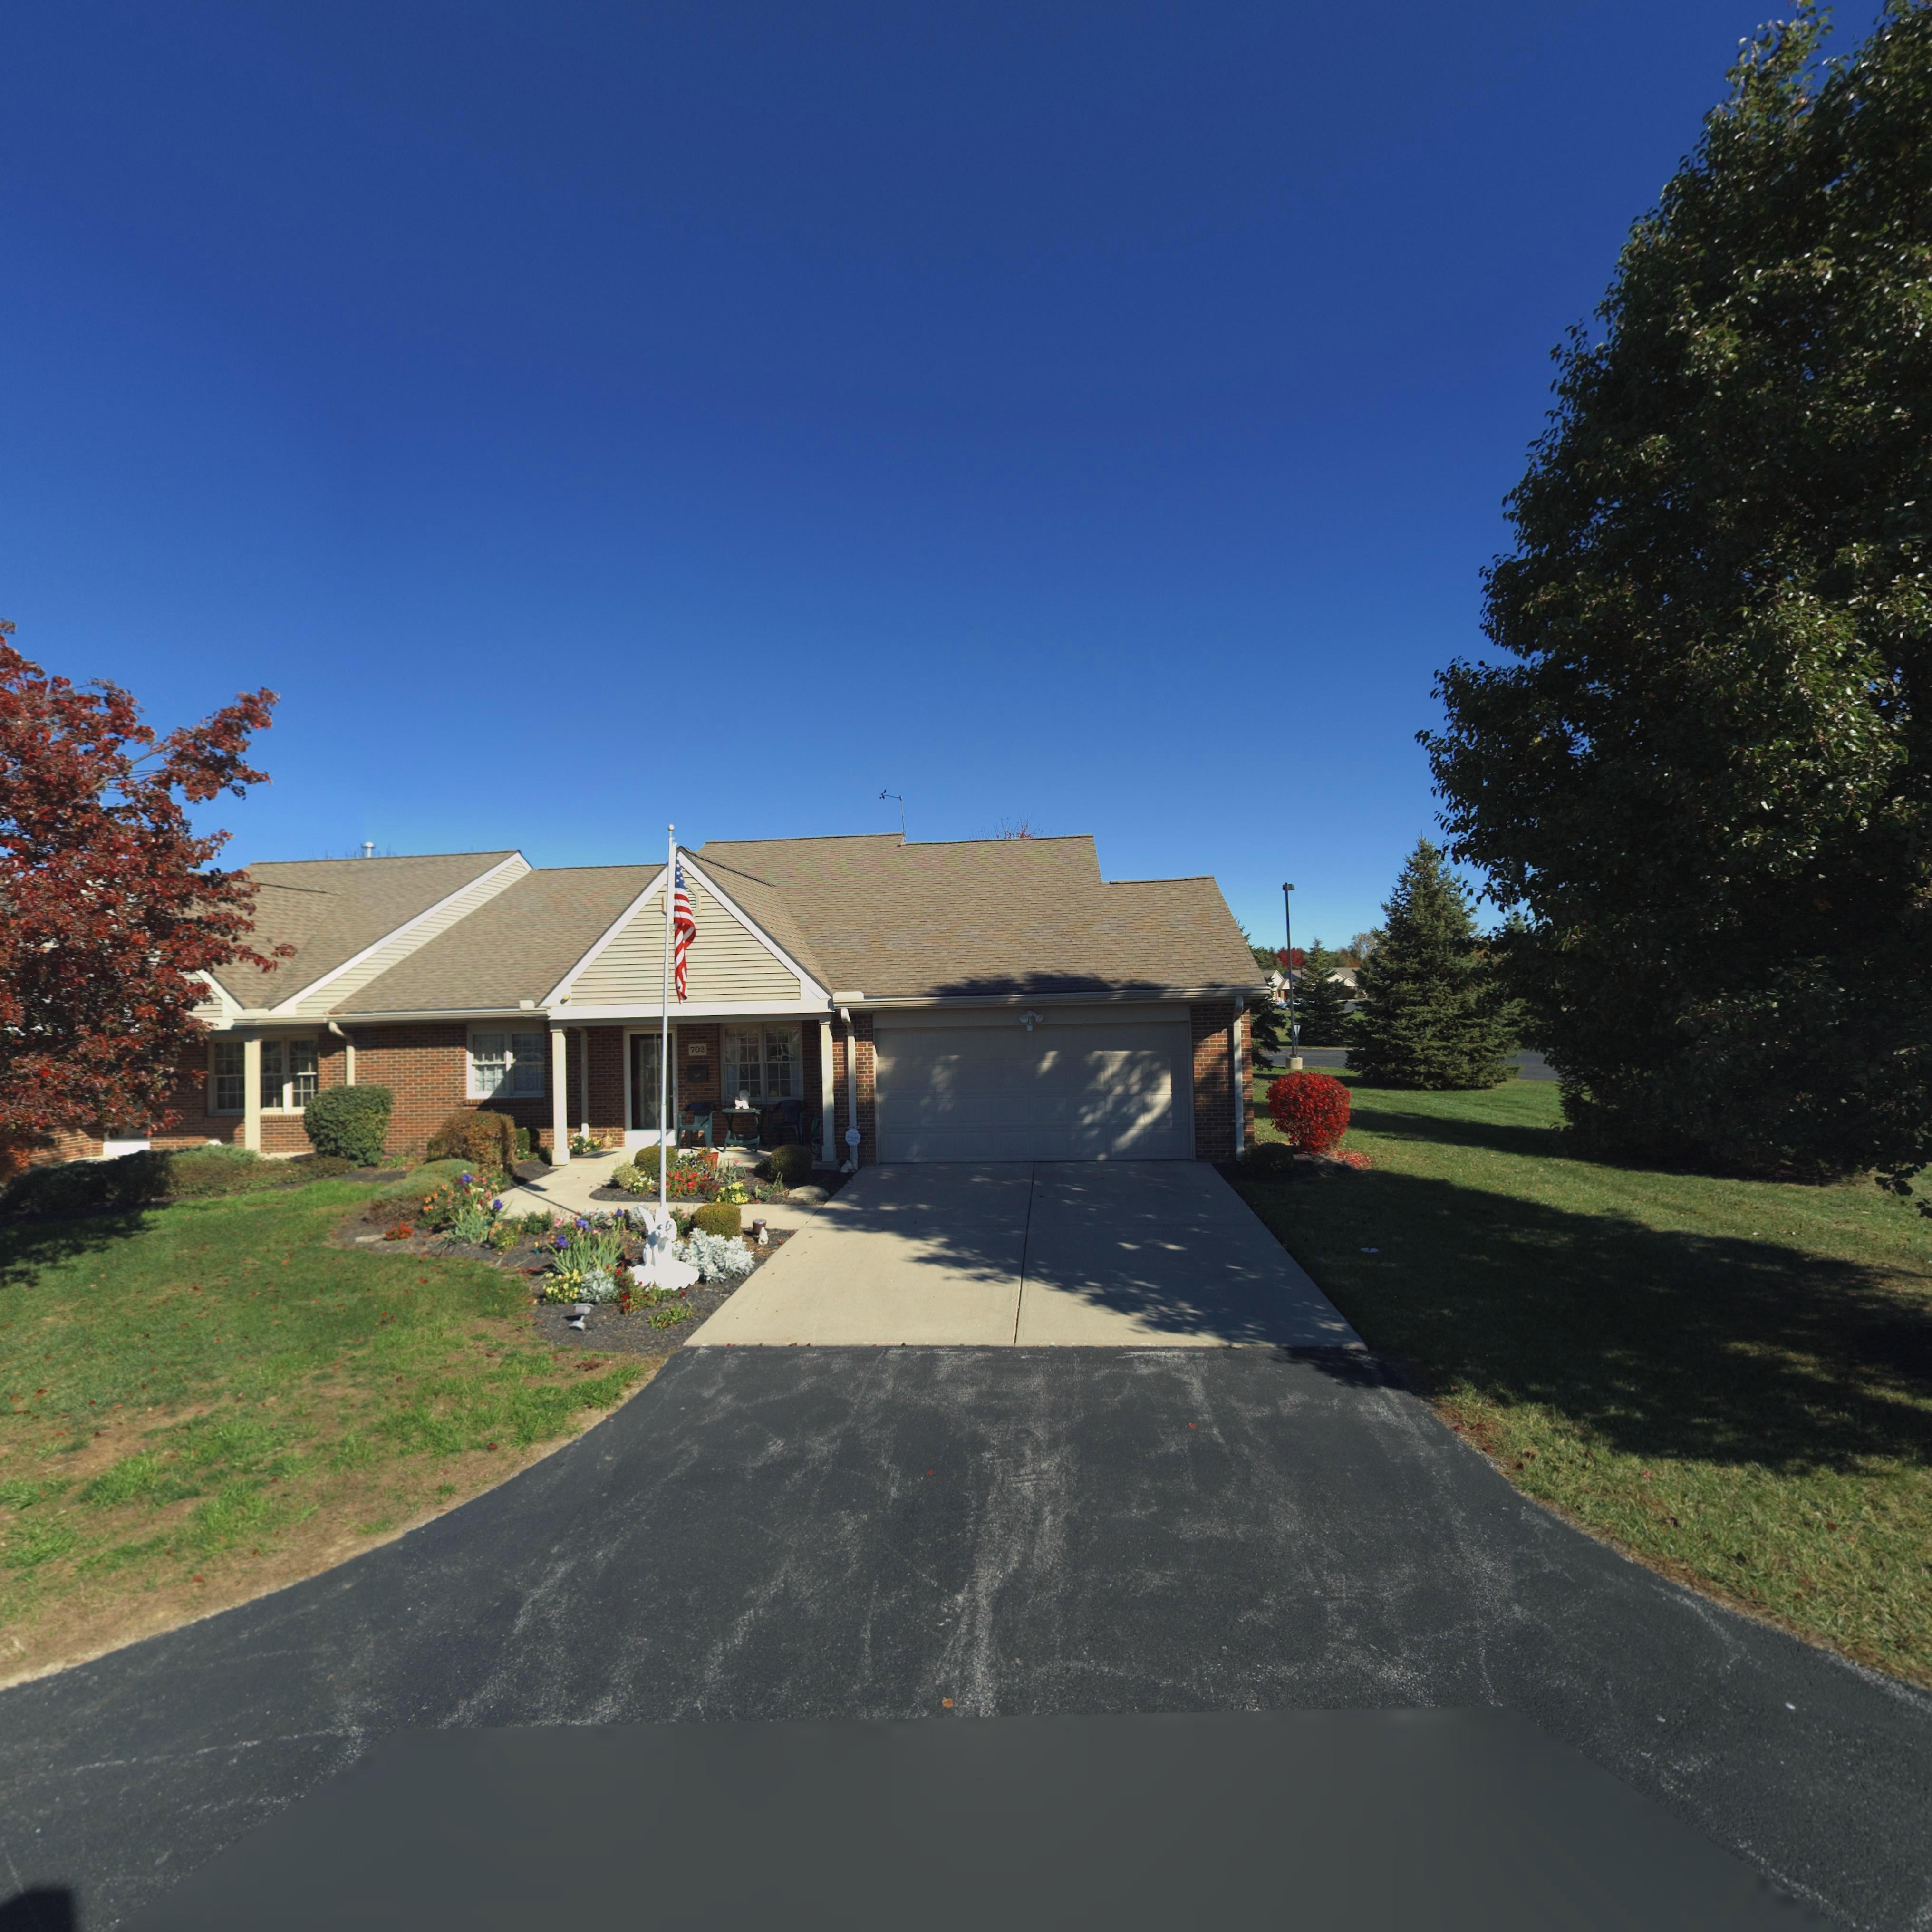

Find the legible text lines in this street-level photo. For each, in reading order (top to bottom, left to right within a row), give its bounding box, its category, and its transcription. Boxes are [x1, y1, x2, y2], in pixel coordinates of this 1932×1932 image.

[690, 1046, 705, 1053] StreetNumber: 702